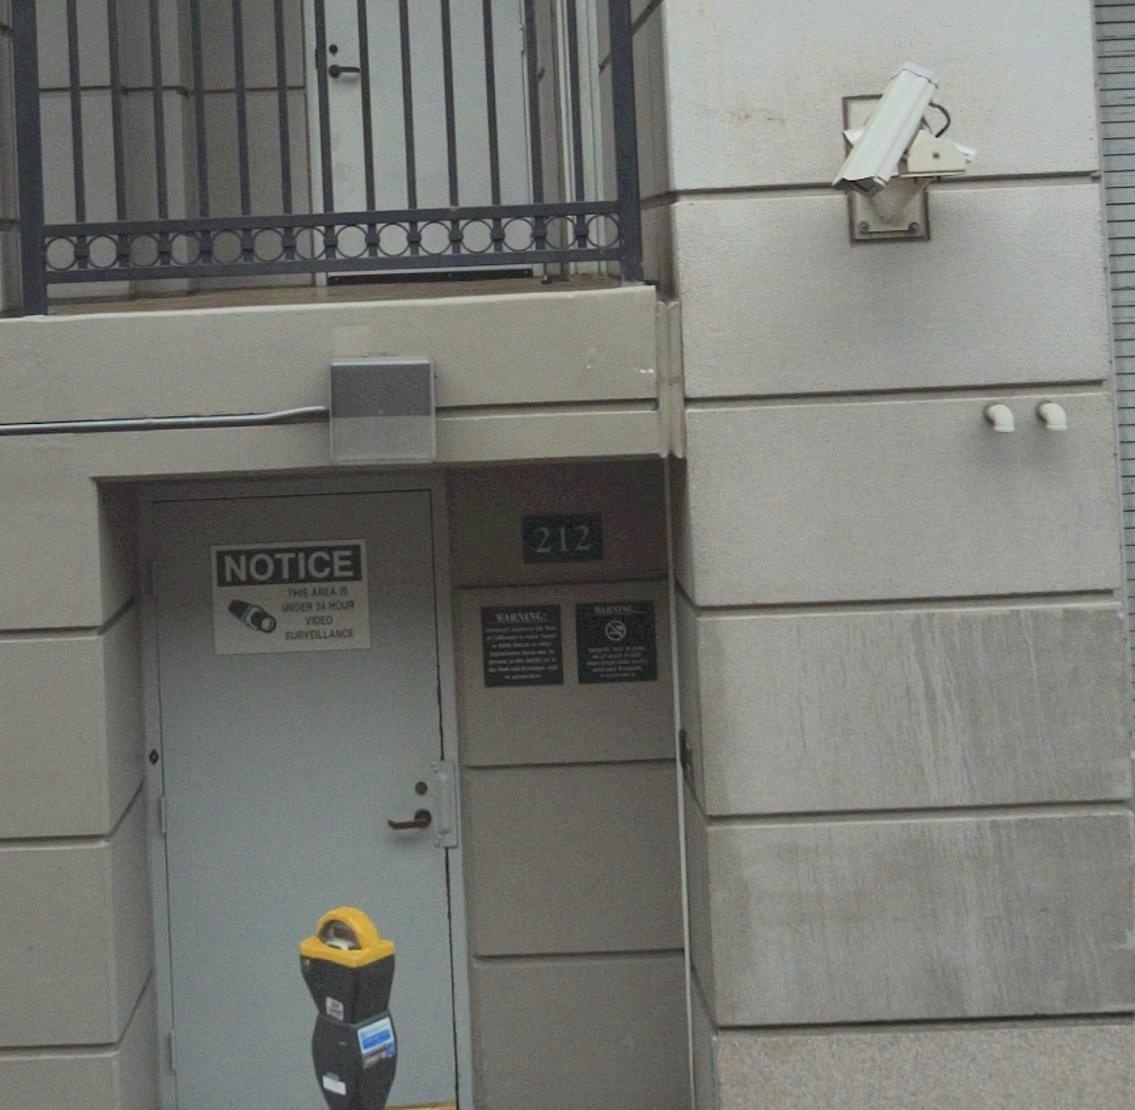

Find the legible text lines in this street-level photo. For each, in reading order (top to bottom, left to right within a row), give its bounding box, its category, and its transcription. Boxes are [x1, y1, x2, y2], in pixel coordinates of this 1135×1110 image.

[532, 523, 591, 556] StreetNumber: 212
[222, 547, 355, 585] None: NOTICE
[286, 583, 350, 599] None: THIS AREA IS
[280, 598, 356, 614] None: UNDER 24 HOUR
[303, 613, 334, 628] None: VIDEO
[493, 610, 548, 625] None: WARNING:
[282, 625, 356, 643] None: SURVERLLANCE